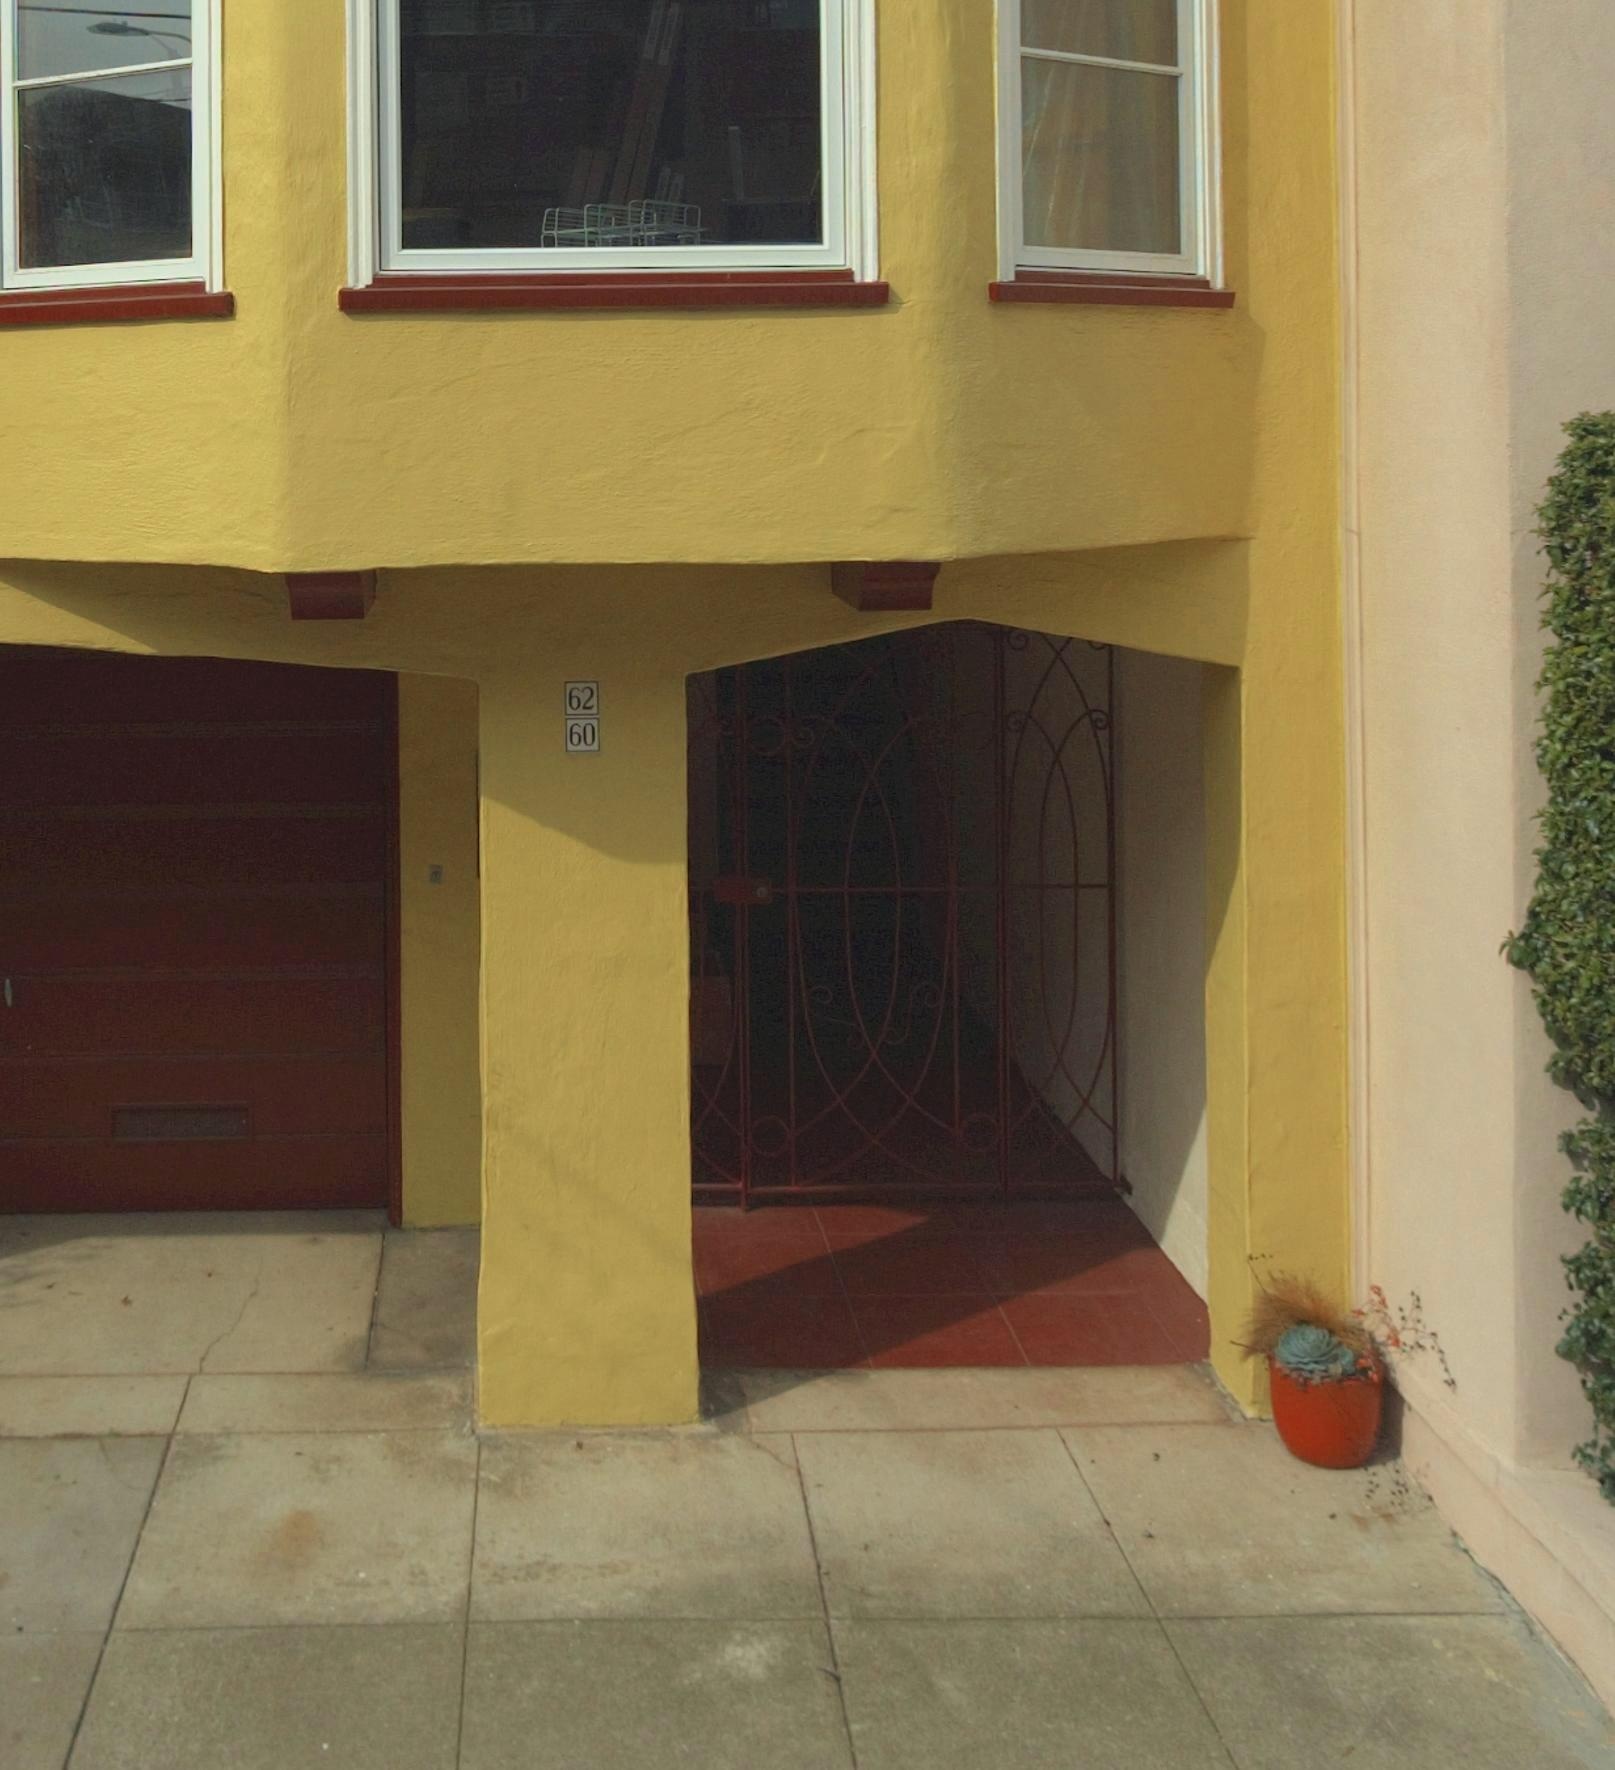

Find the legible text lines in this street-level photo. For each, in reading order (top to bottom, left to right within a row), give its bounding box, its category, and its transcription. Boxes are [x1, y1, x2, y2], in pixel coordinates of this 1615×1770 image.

[567, 685, 596, 712] StreetNumber: 62
[568, 721, 596, 748] StreetNumber: 60